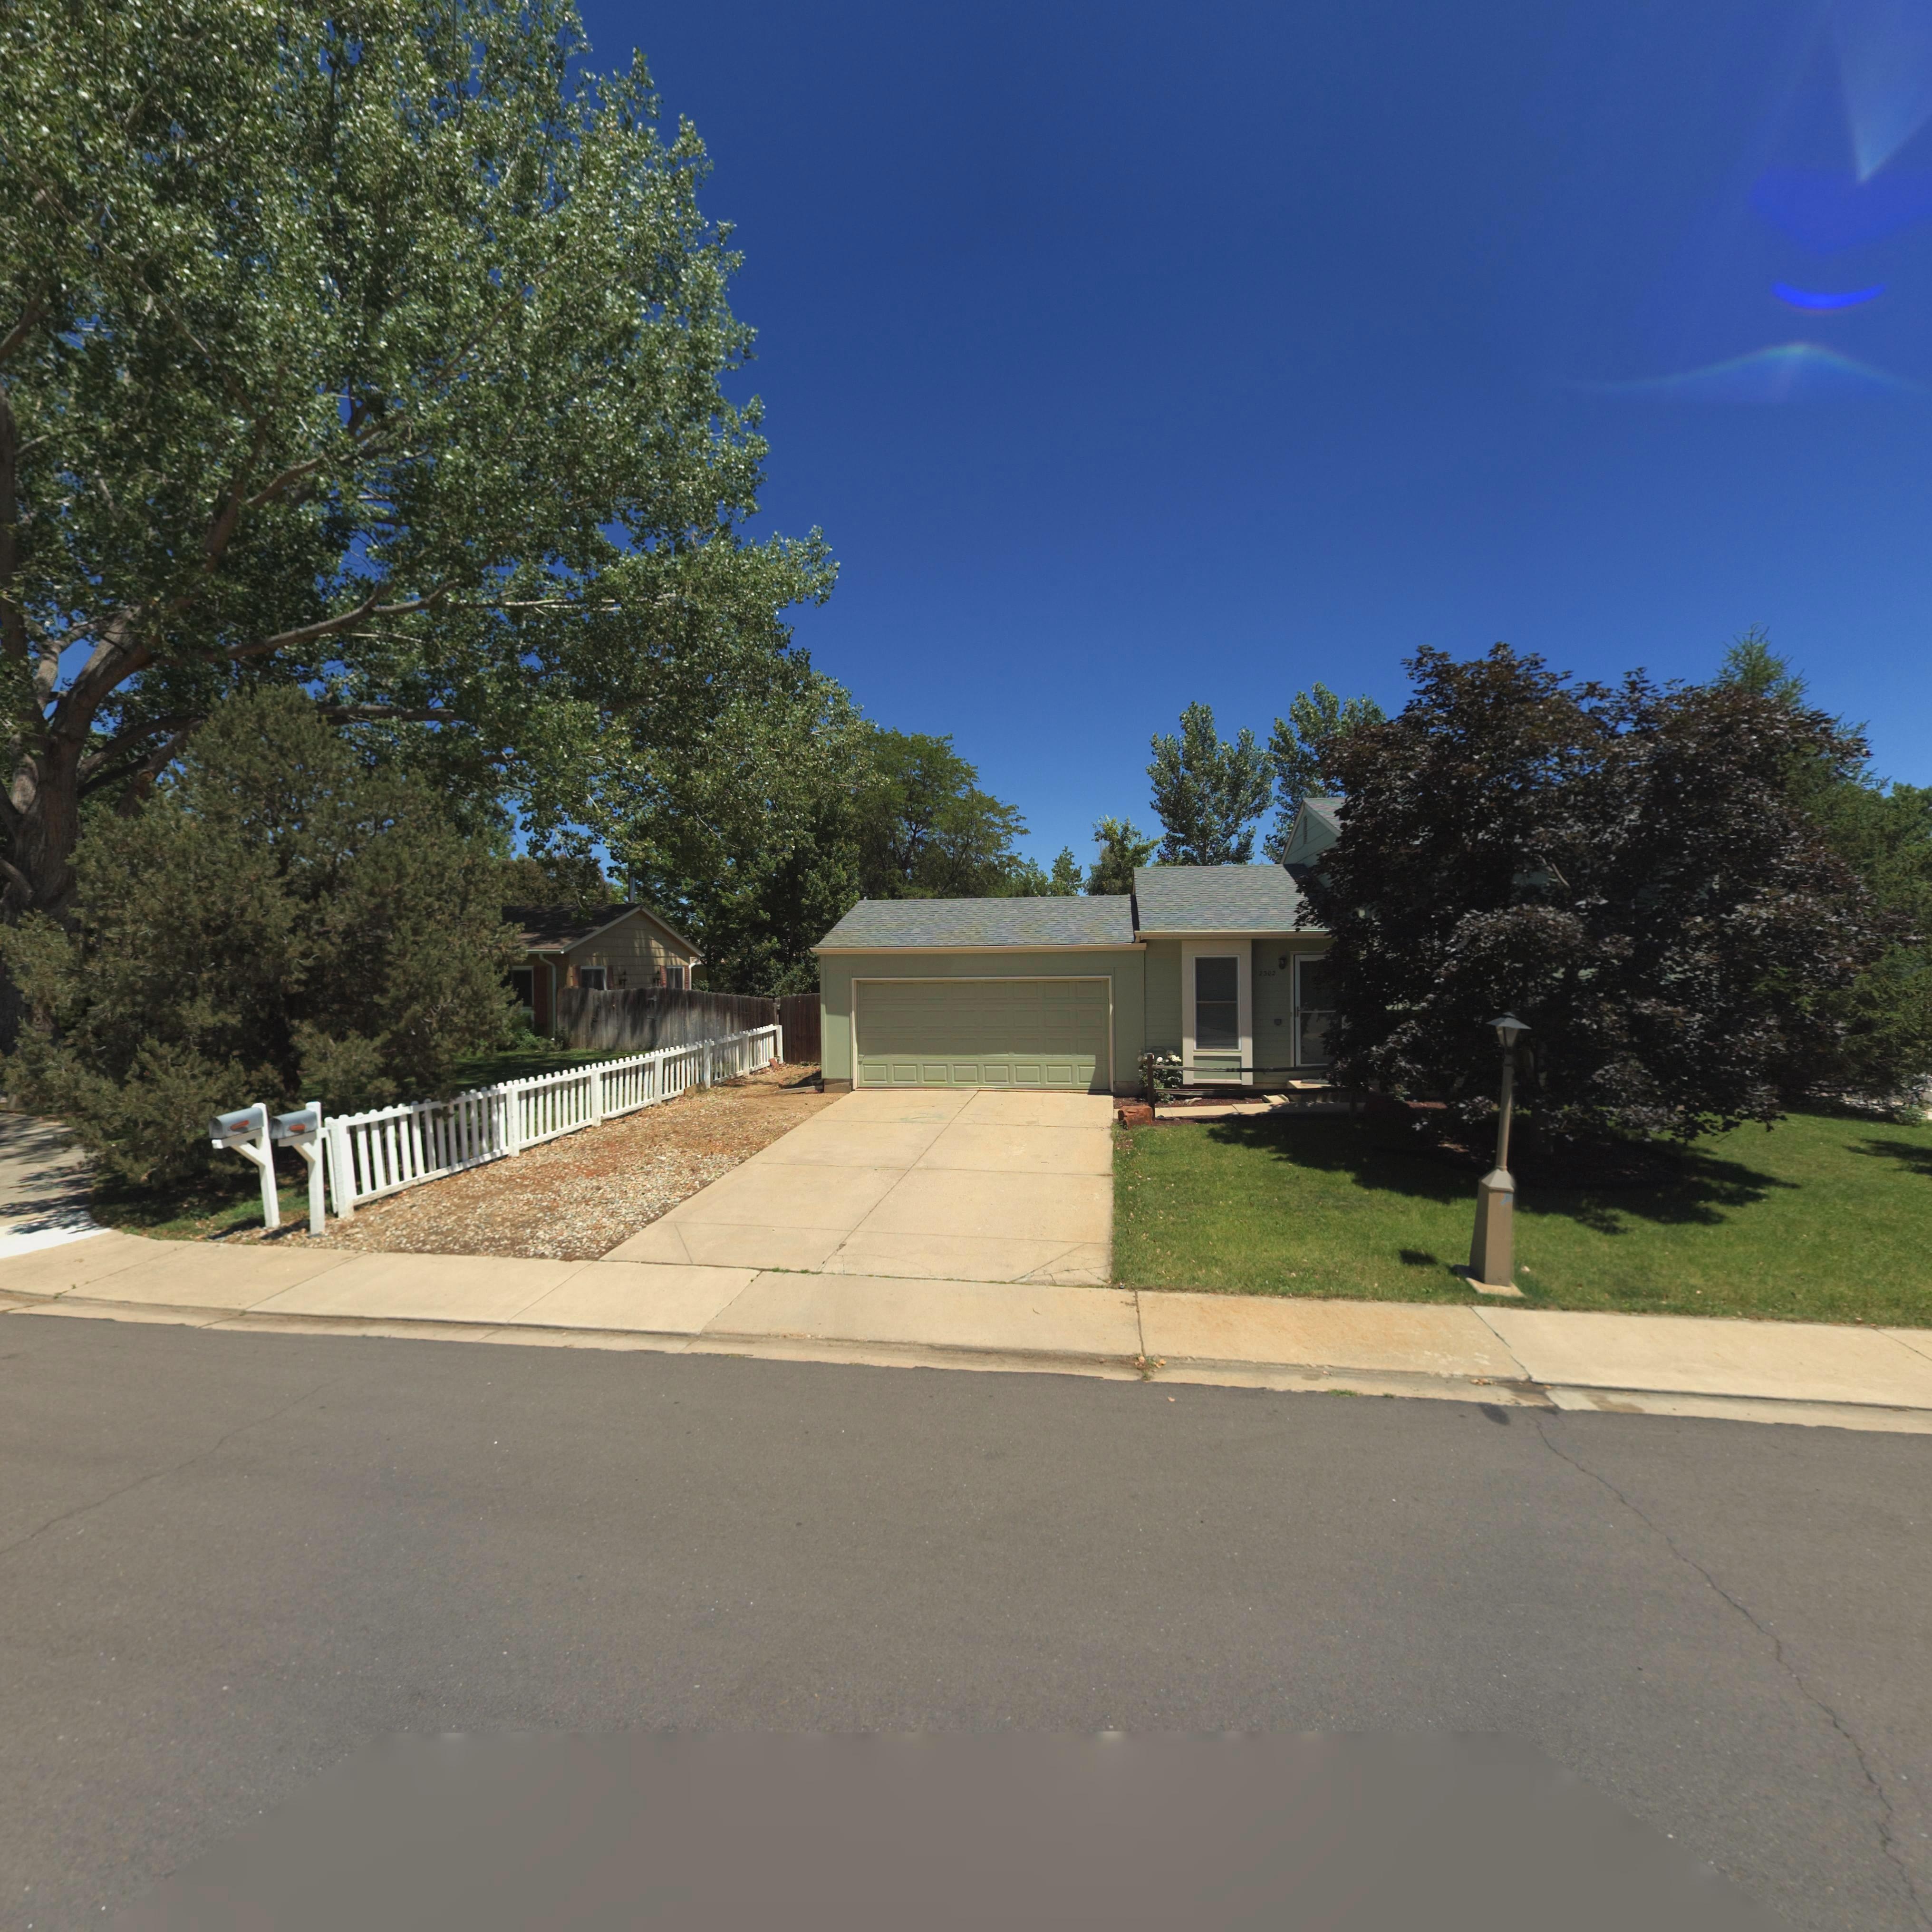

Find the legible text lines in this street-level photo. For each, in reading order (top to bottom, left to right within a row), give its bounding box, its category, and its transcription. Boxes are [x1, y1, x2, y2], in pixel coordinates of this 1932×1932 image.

[1259, 971, 1275, 976] StreetNumber: 2302